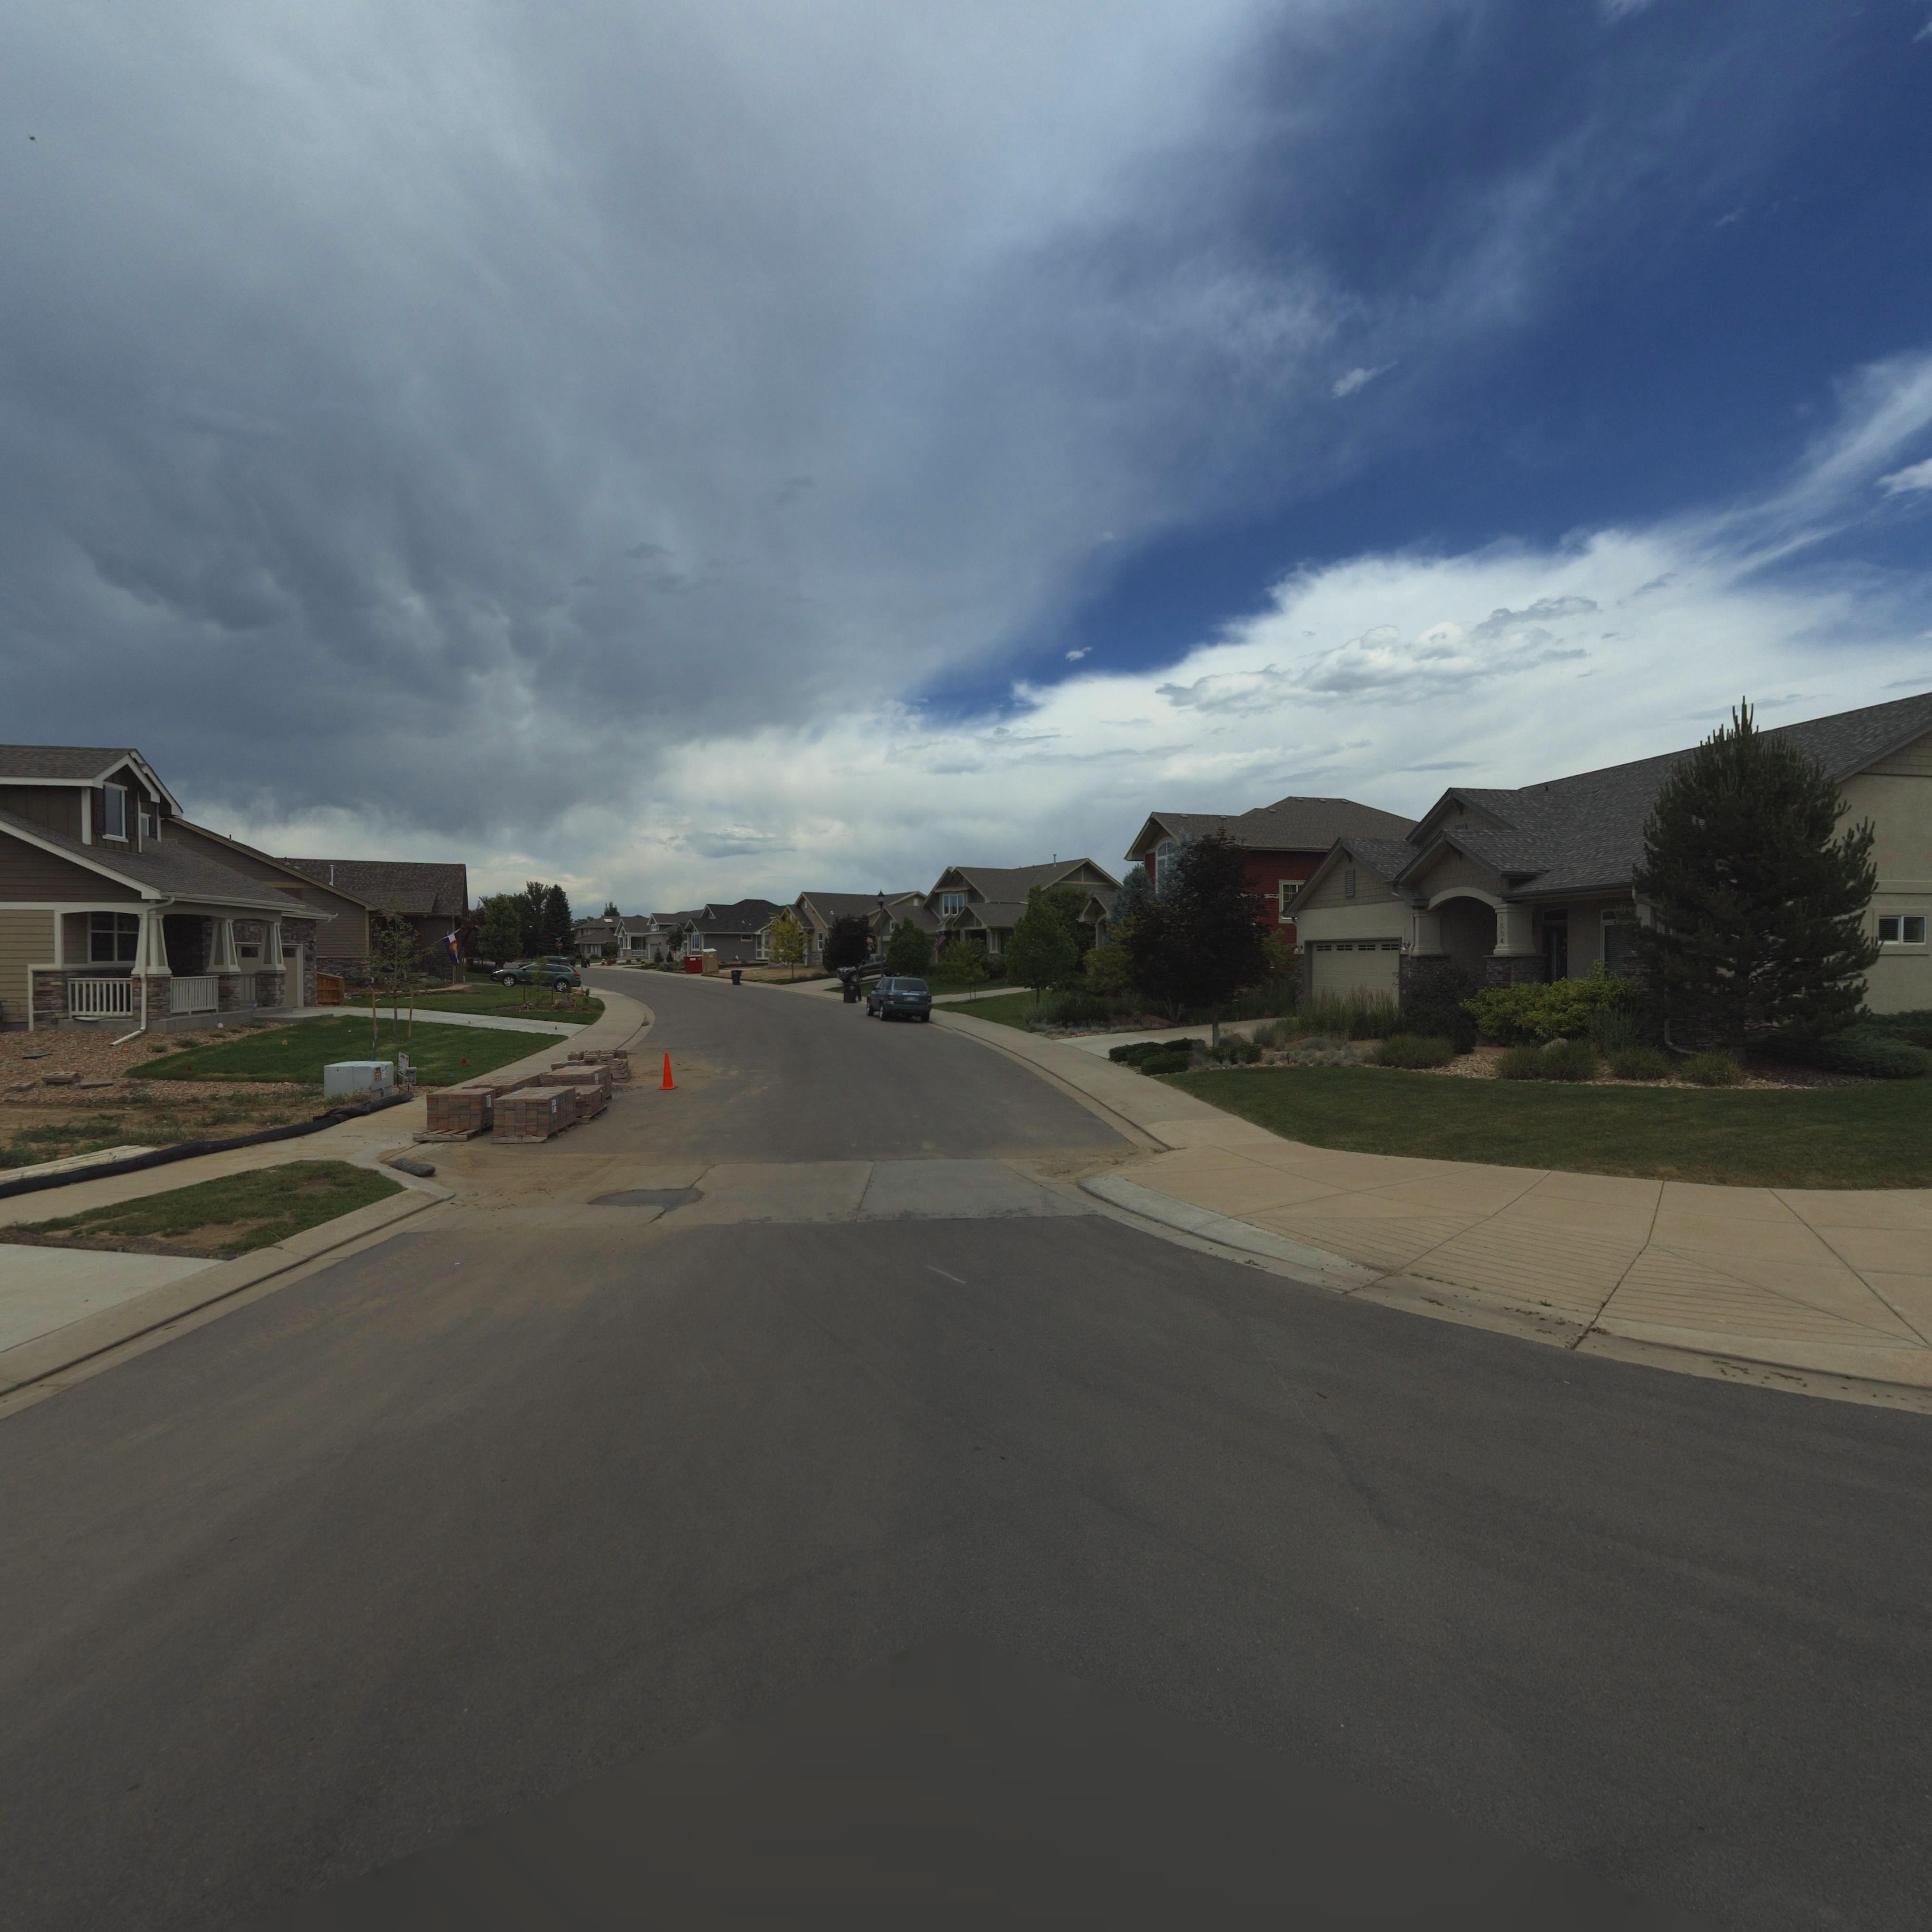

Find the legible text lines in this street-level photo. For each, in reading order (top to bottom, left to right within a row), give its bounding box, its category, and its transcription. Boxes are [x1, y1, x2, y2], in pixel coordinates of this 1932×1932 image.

[1500, 915, 1504, 944] StreetNumber: 1504